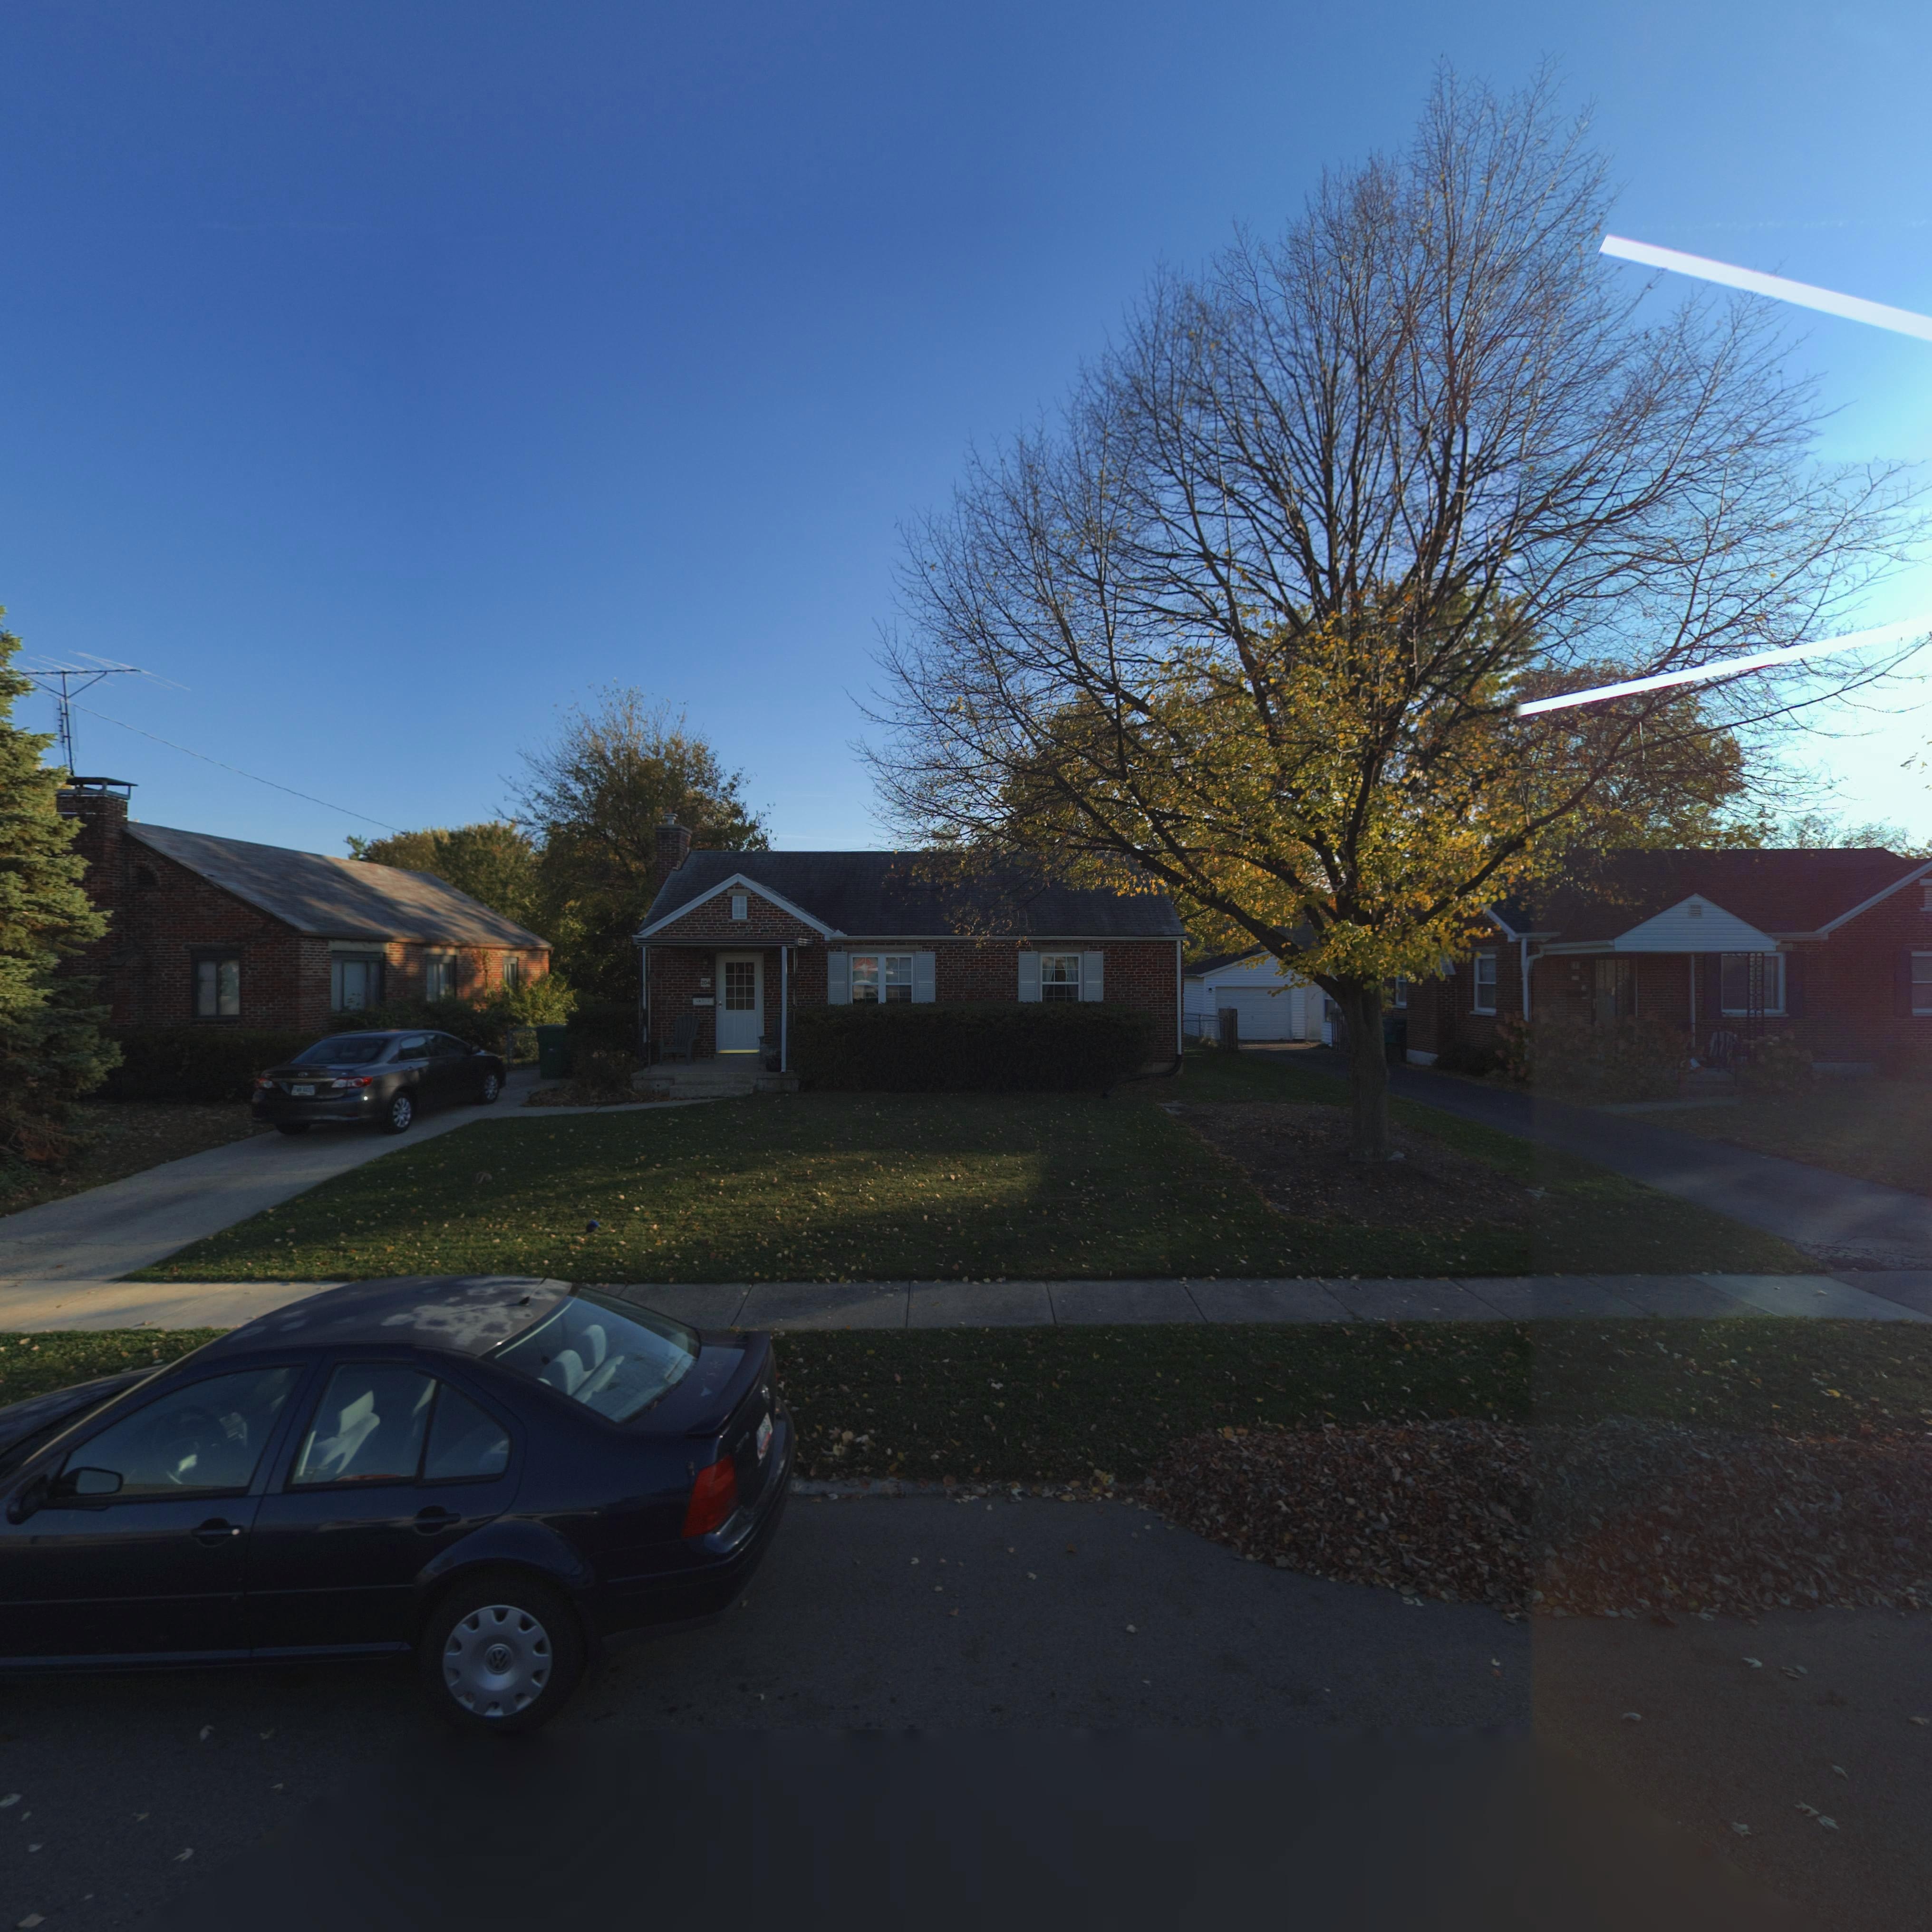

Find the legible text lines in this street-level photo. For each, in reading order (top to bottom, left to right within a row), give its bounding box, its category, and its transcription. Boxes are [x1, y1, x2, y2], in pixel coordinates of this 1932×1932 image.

[700, 980, 711, 985] StreetNumber: 204